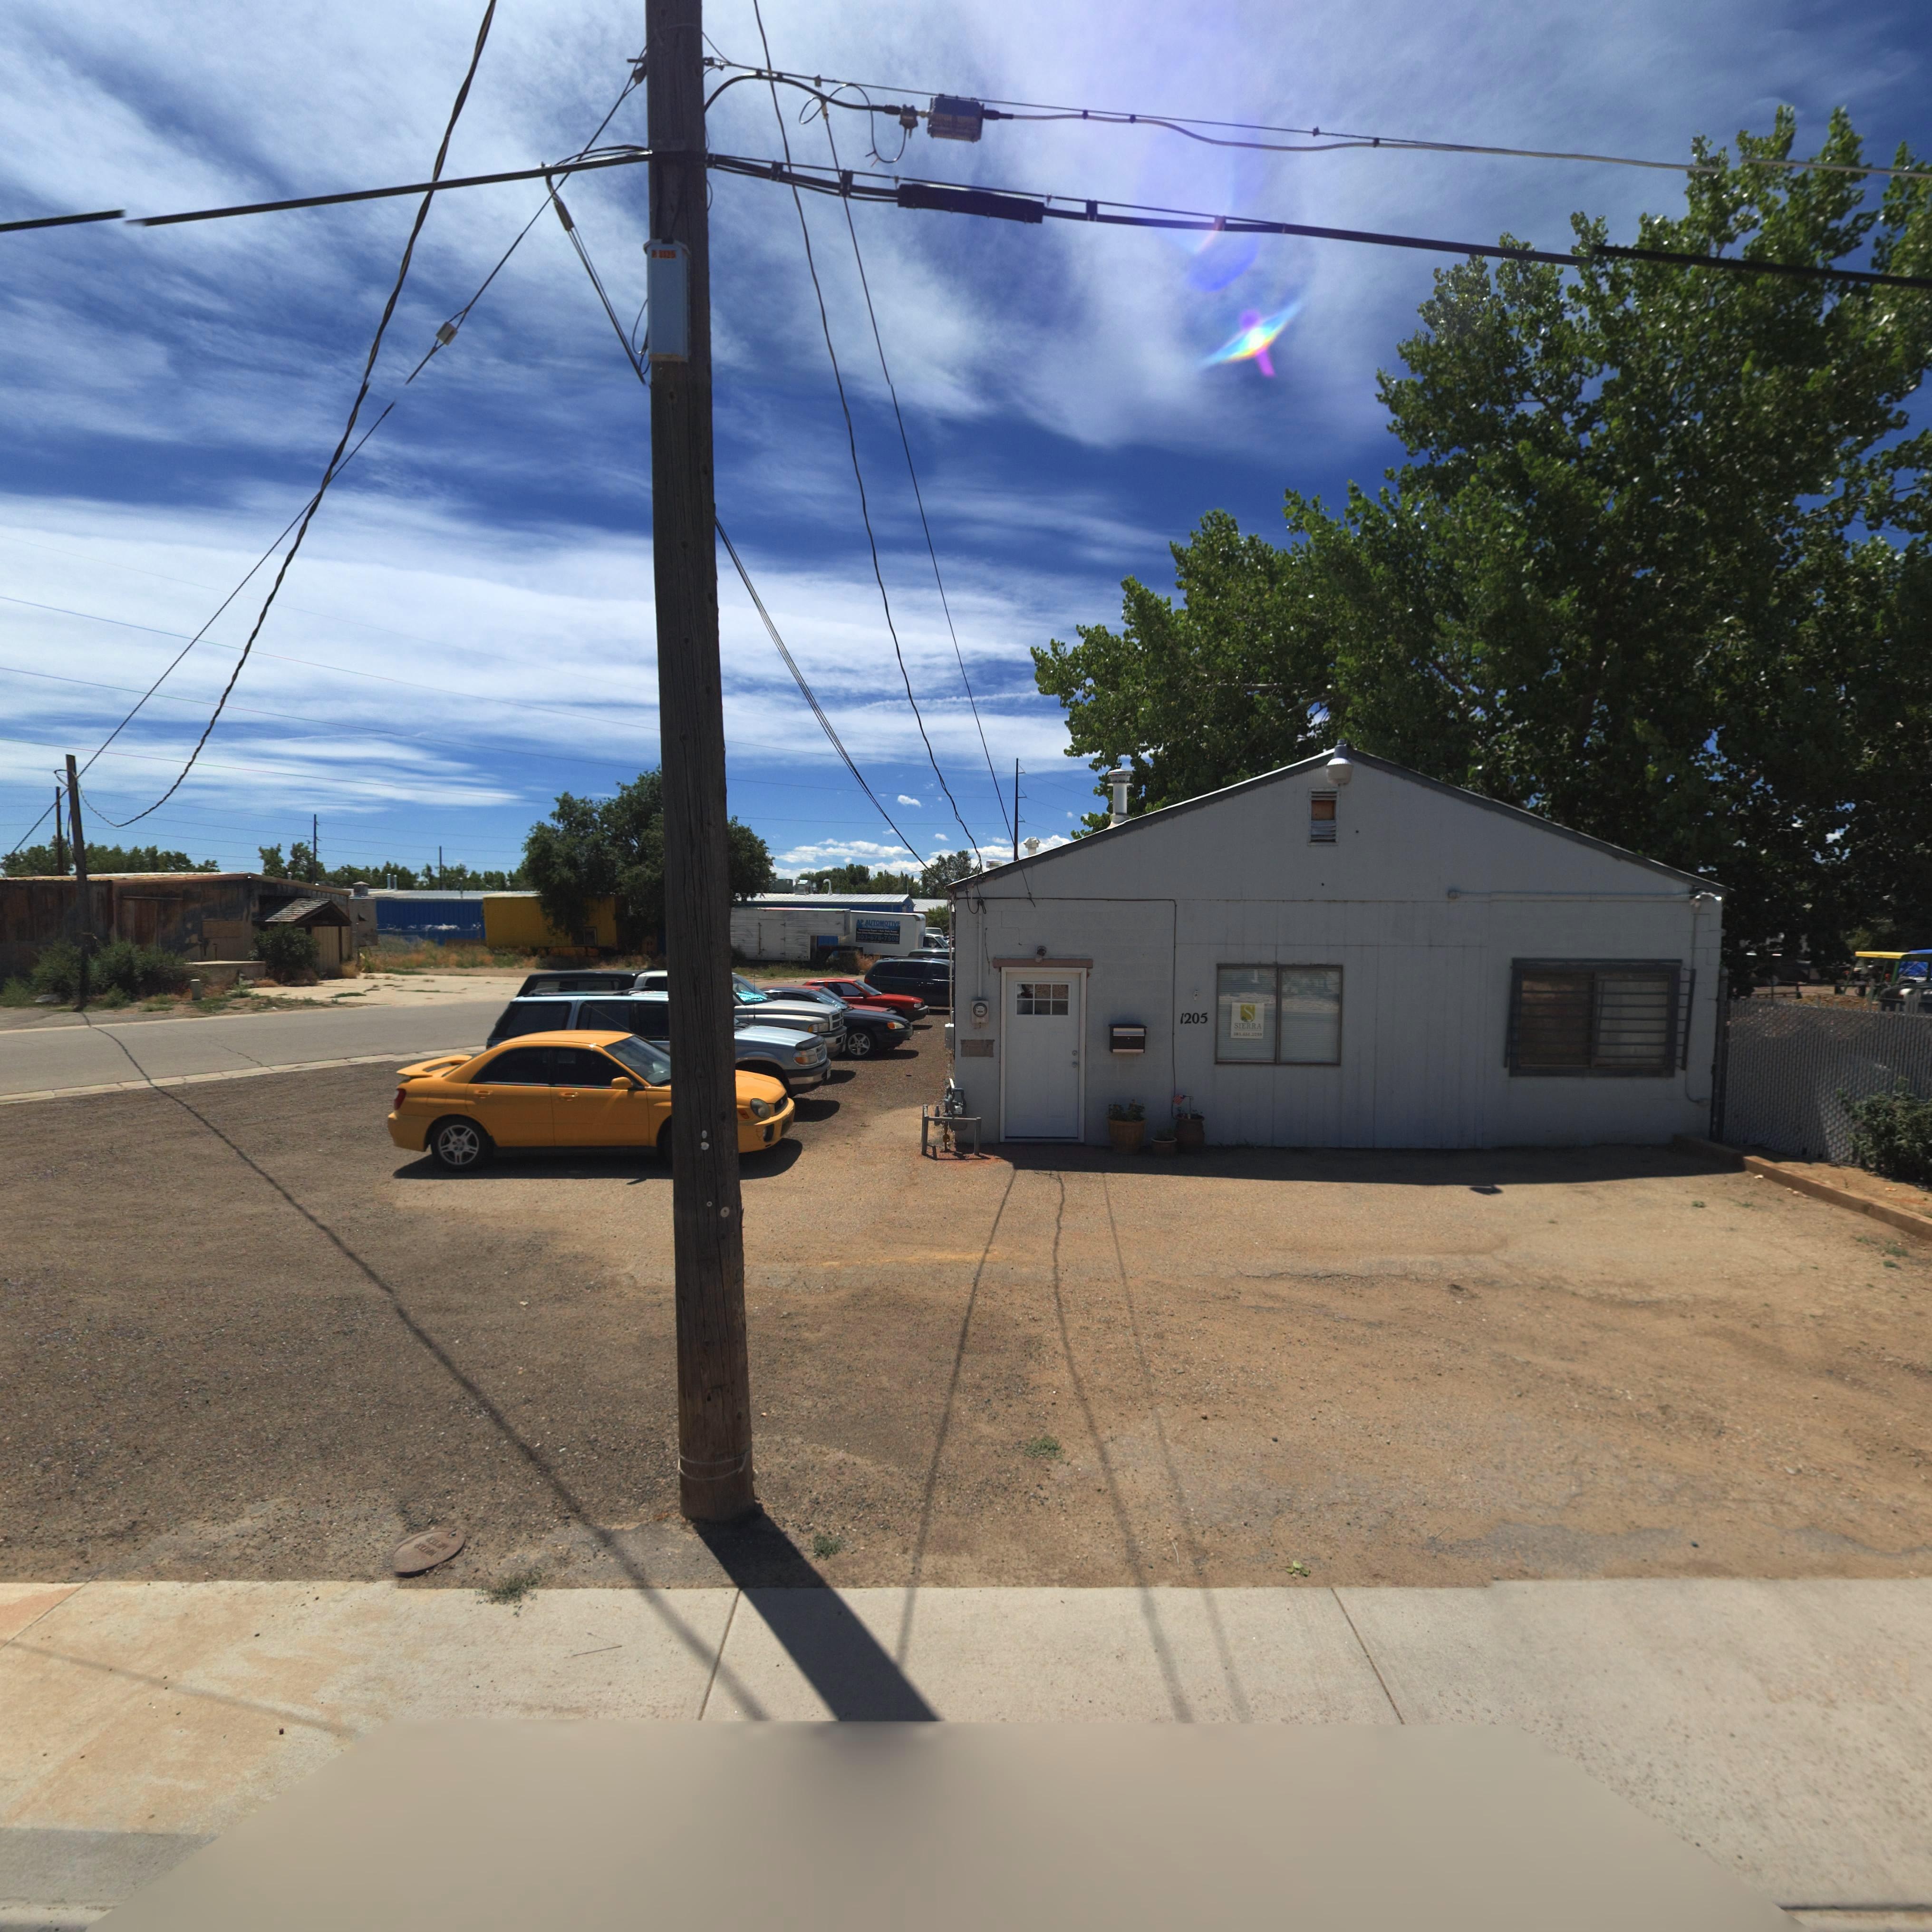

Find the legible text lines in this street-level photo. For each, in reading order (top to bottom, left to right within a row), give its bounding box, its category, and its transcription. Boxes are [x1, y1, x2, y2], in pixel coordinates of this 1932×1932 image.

[1180, 1012, 1209, 1024] StreetNumber: 1205
[1233, 1022, 1262, 1030] BusinessName: SIERRA